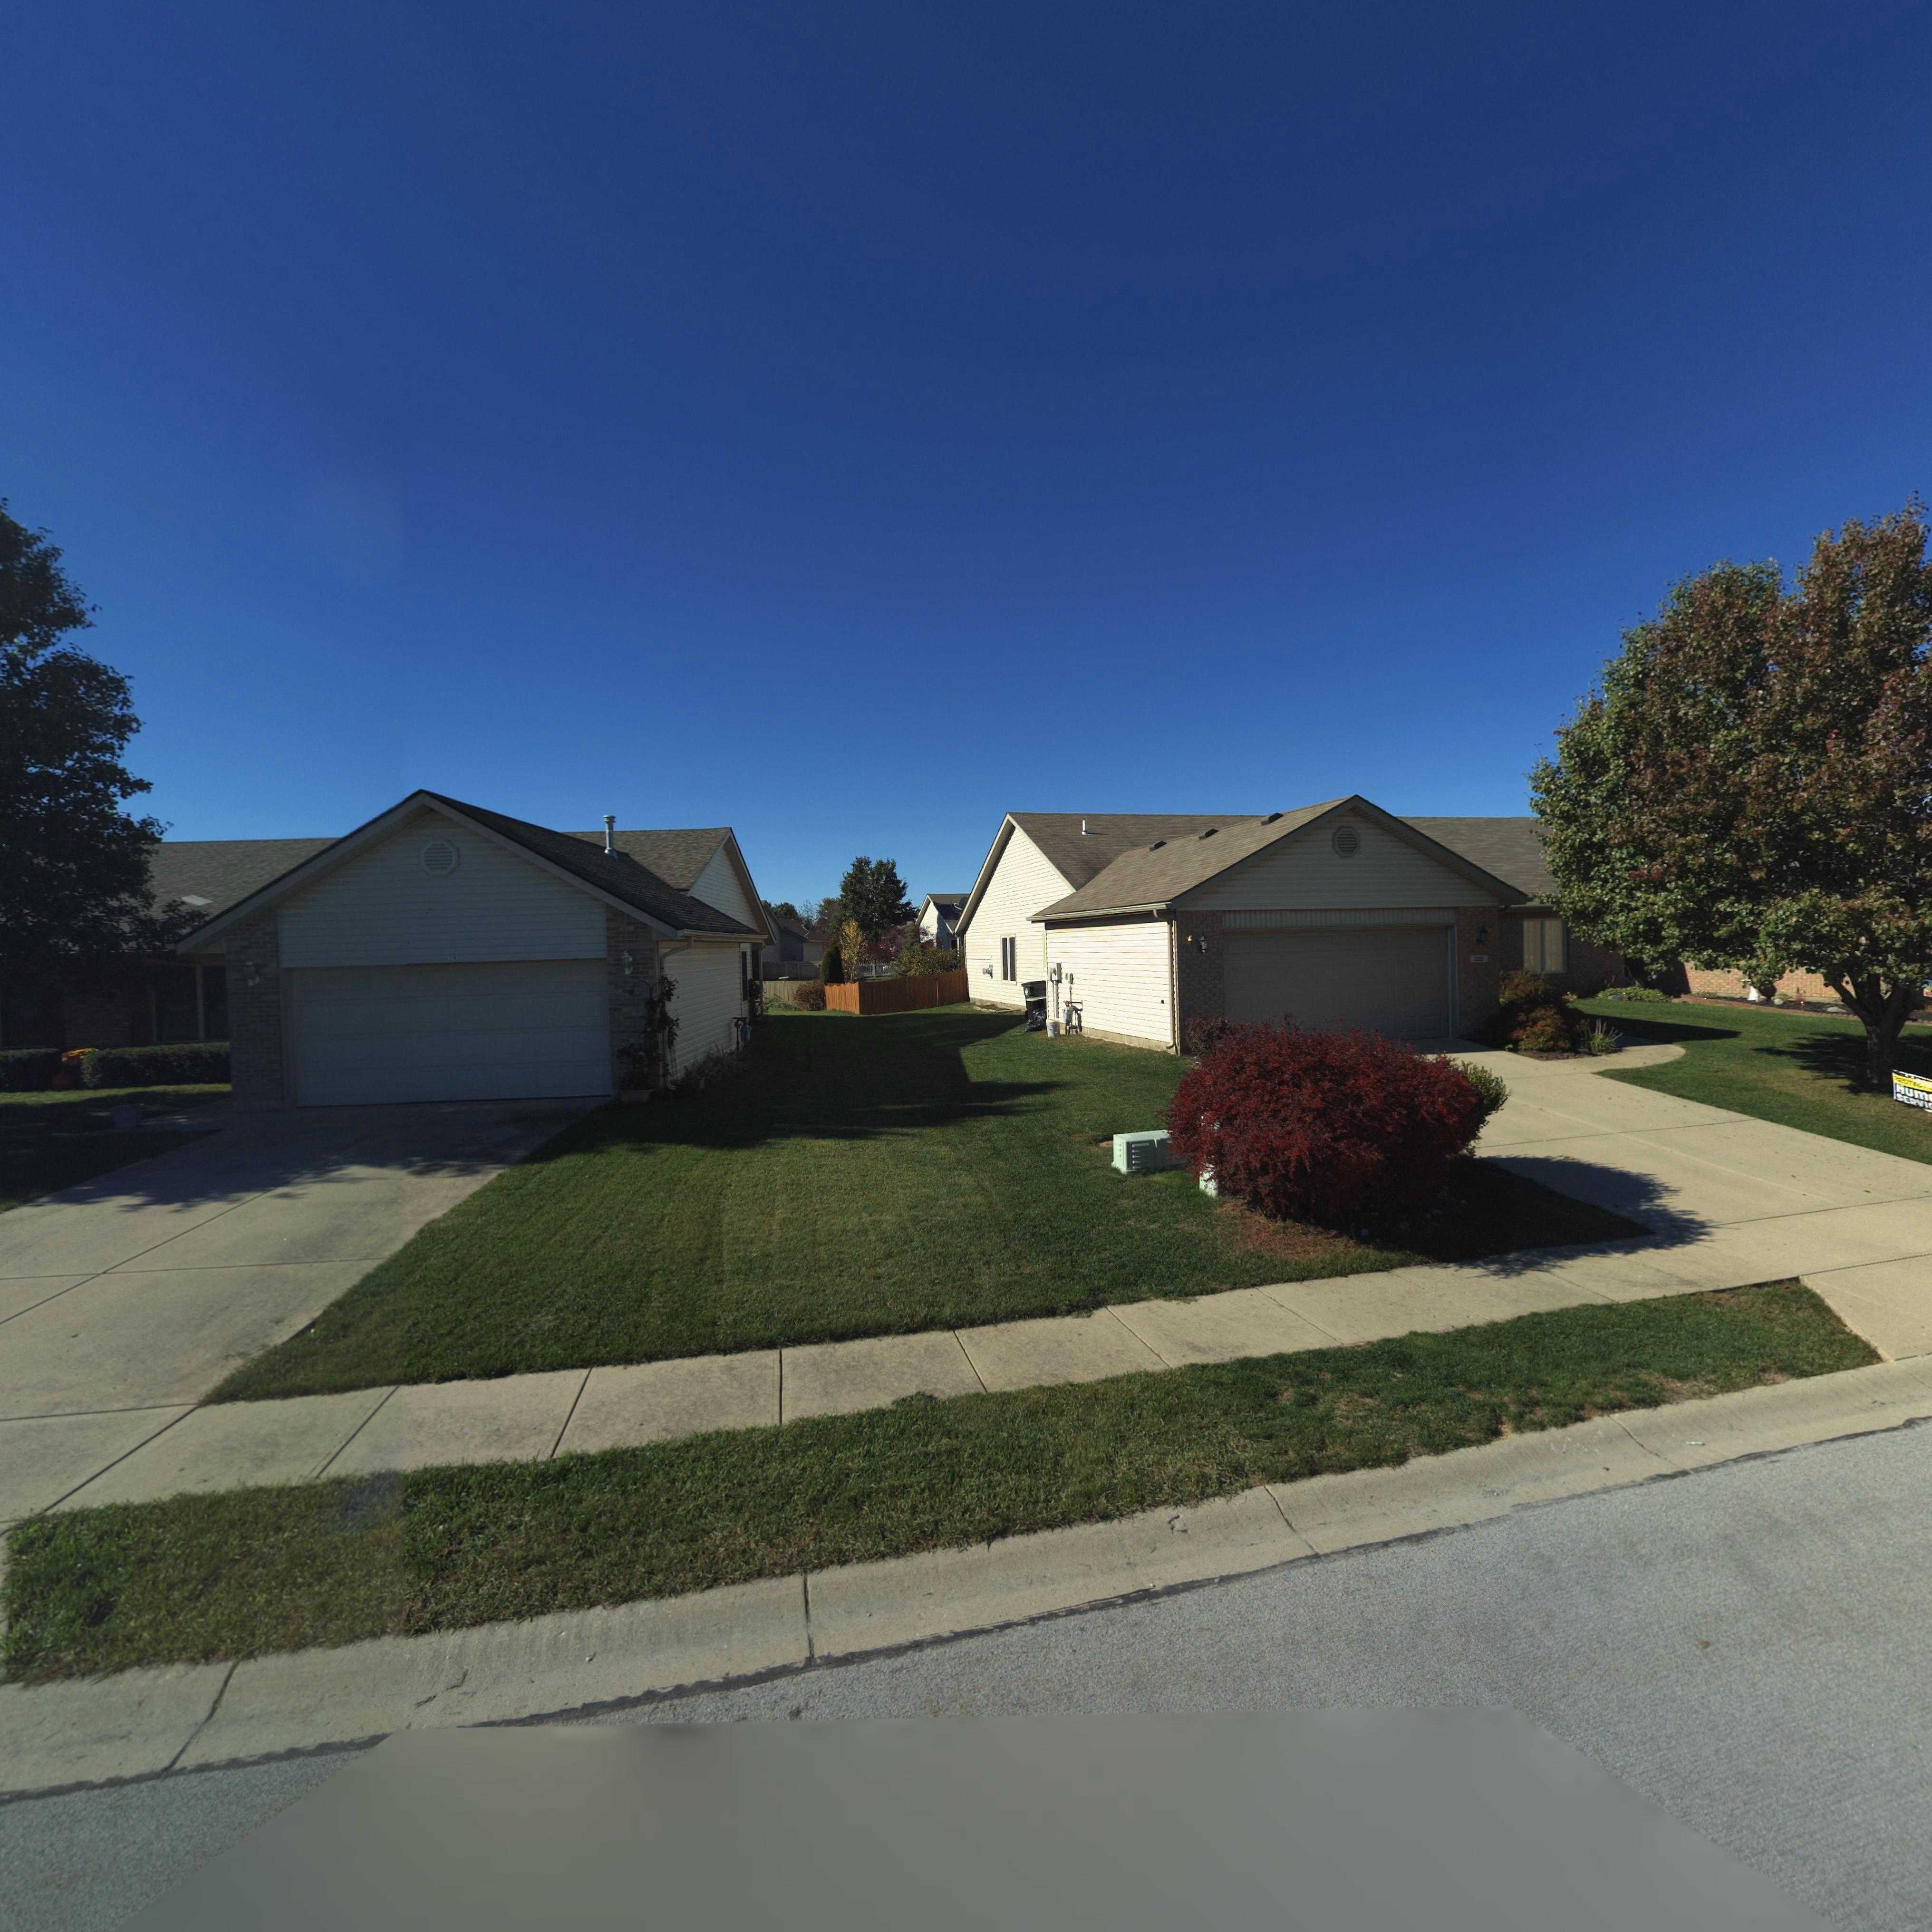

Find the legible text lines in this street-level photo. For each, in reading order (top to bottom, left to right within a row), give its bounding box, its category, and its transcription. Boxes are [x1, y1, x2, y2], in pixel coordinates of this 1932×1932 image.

[1474, 956, 1484, 962] StreetNumber: 222